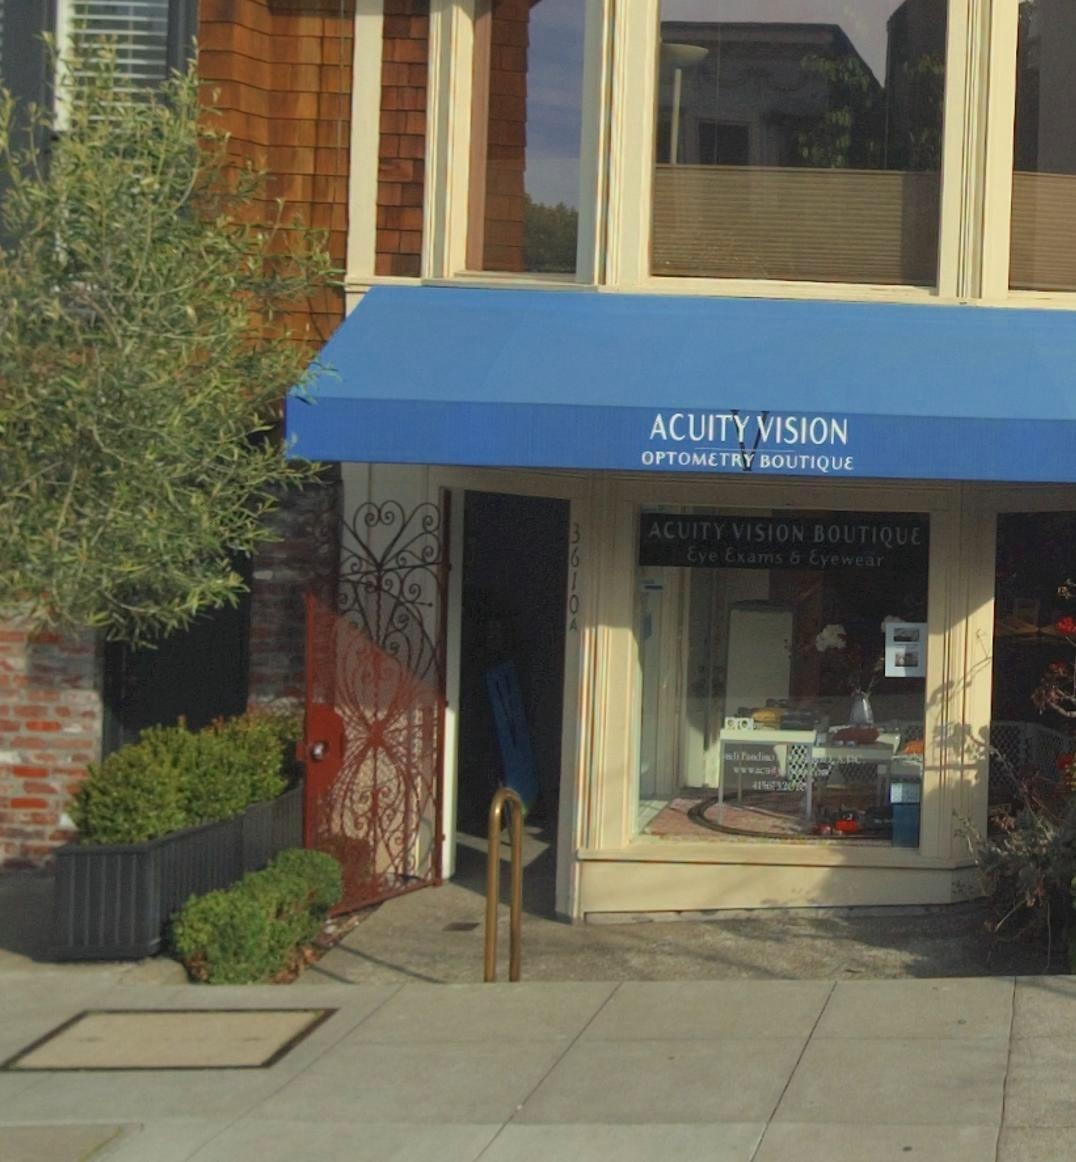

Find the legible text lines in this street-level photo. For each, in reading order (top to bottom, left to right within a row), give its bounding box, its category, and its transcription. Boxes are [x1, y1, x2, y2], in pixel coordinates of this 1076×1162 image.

[643, 411, 850, 448] BusinessName: ACUITY VISION
[639, 447, 856, 476] BusinessName: OPTOMETRY BOUTIQUE
[644, 516, 925, 553] BusinessName: ACUITY VISION BOUTIQUE
[566, 519, 584, 617] StreetNumber: 3610
[684, 542, 887, 572] None: Eye Exams & Eyewear
[566, 615, 580, 633] StreetNumber: A